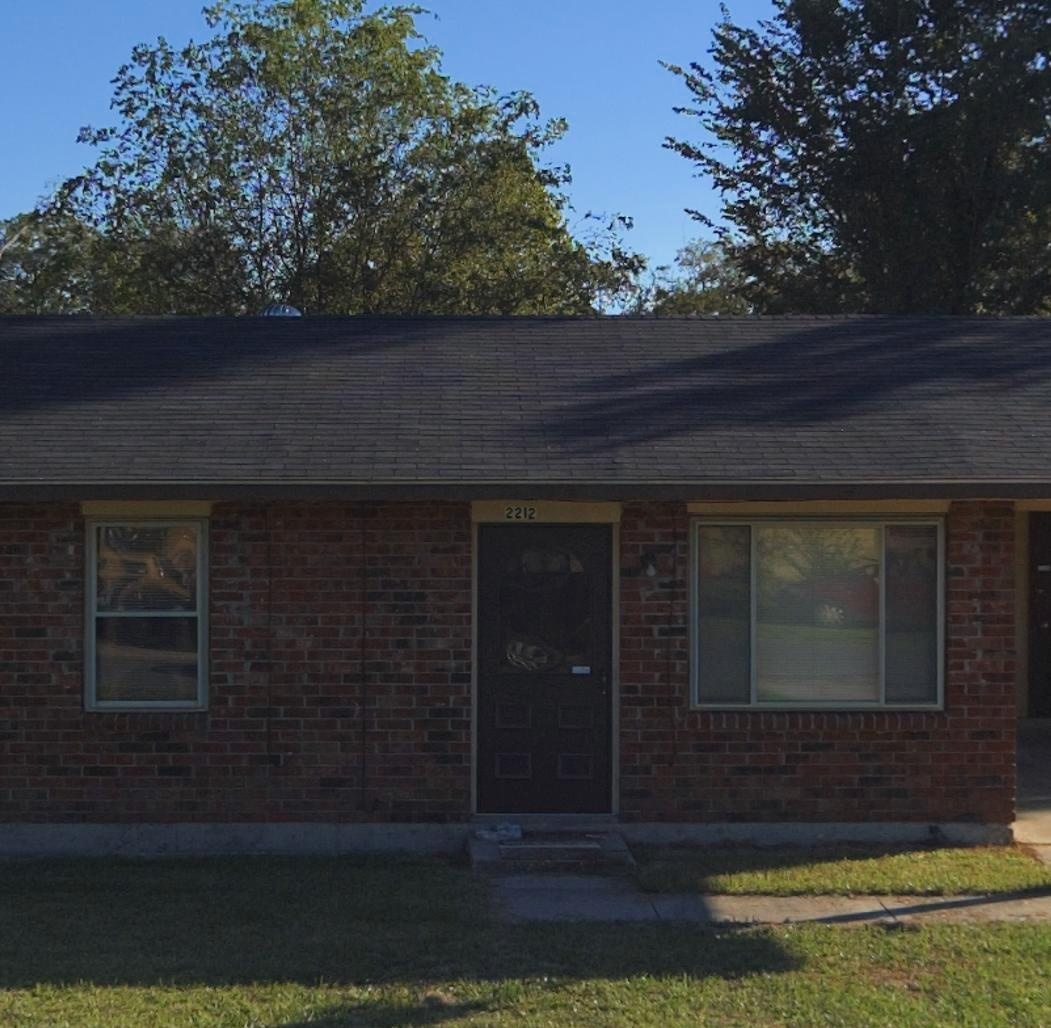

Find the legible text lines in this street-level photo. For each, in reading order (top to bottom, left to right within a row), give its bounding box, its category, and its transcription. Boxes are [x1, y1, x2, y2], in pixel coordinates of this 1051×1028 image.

[504, 506, 536, 520] StreetNumber: 2212